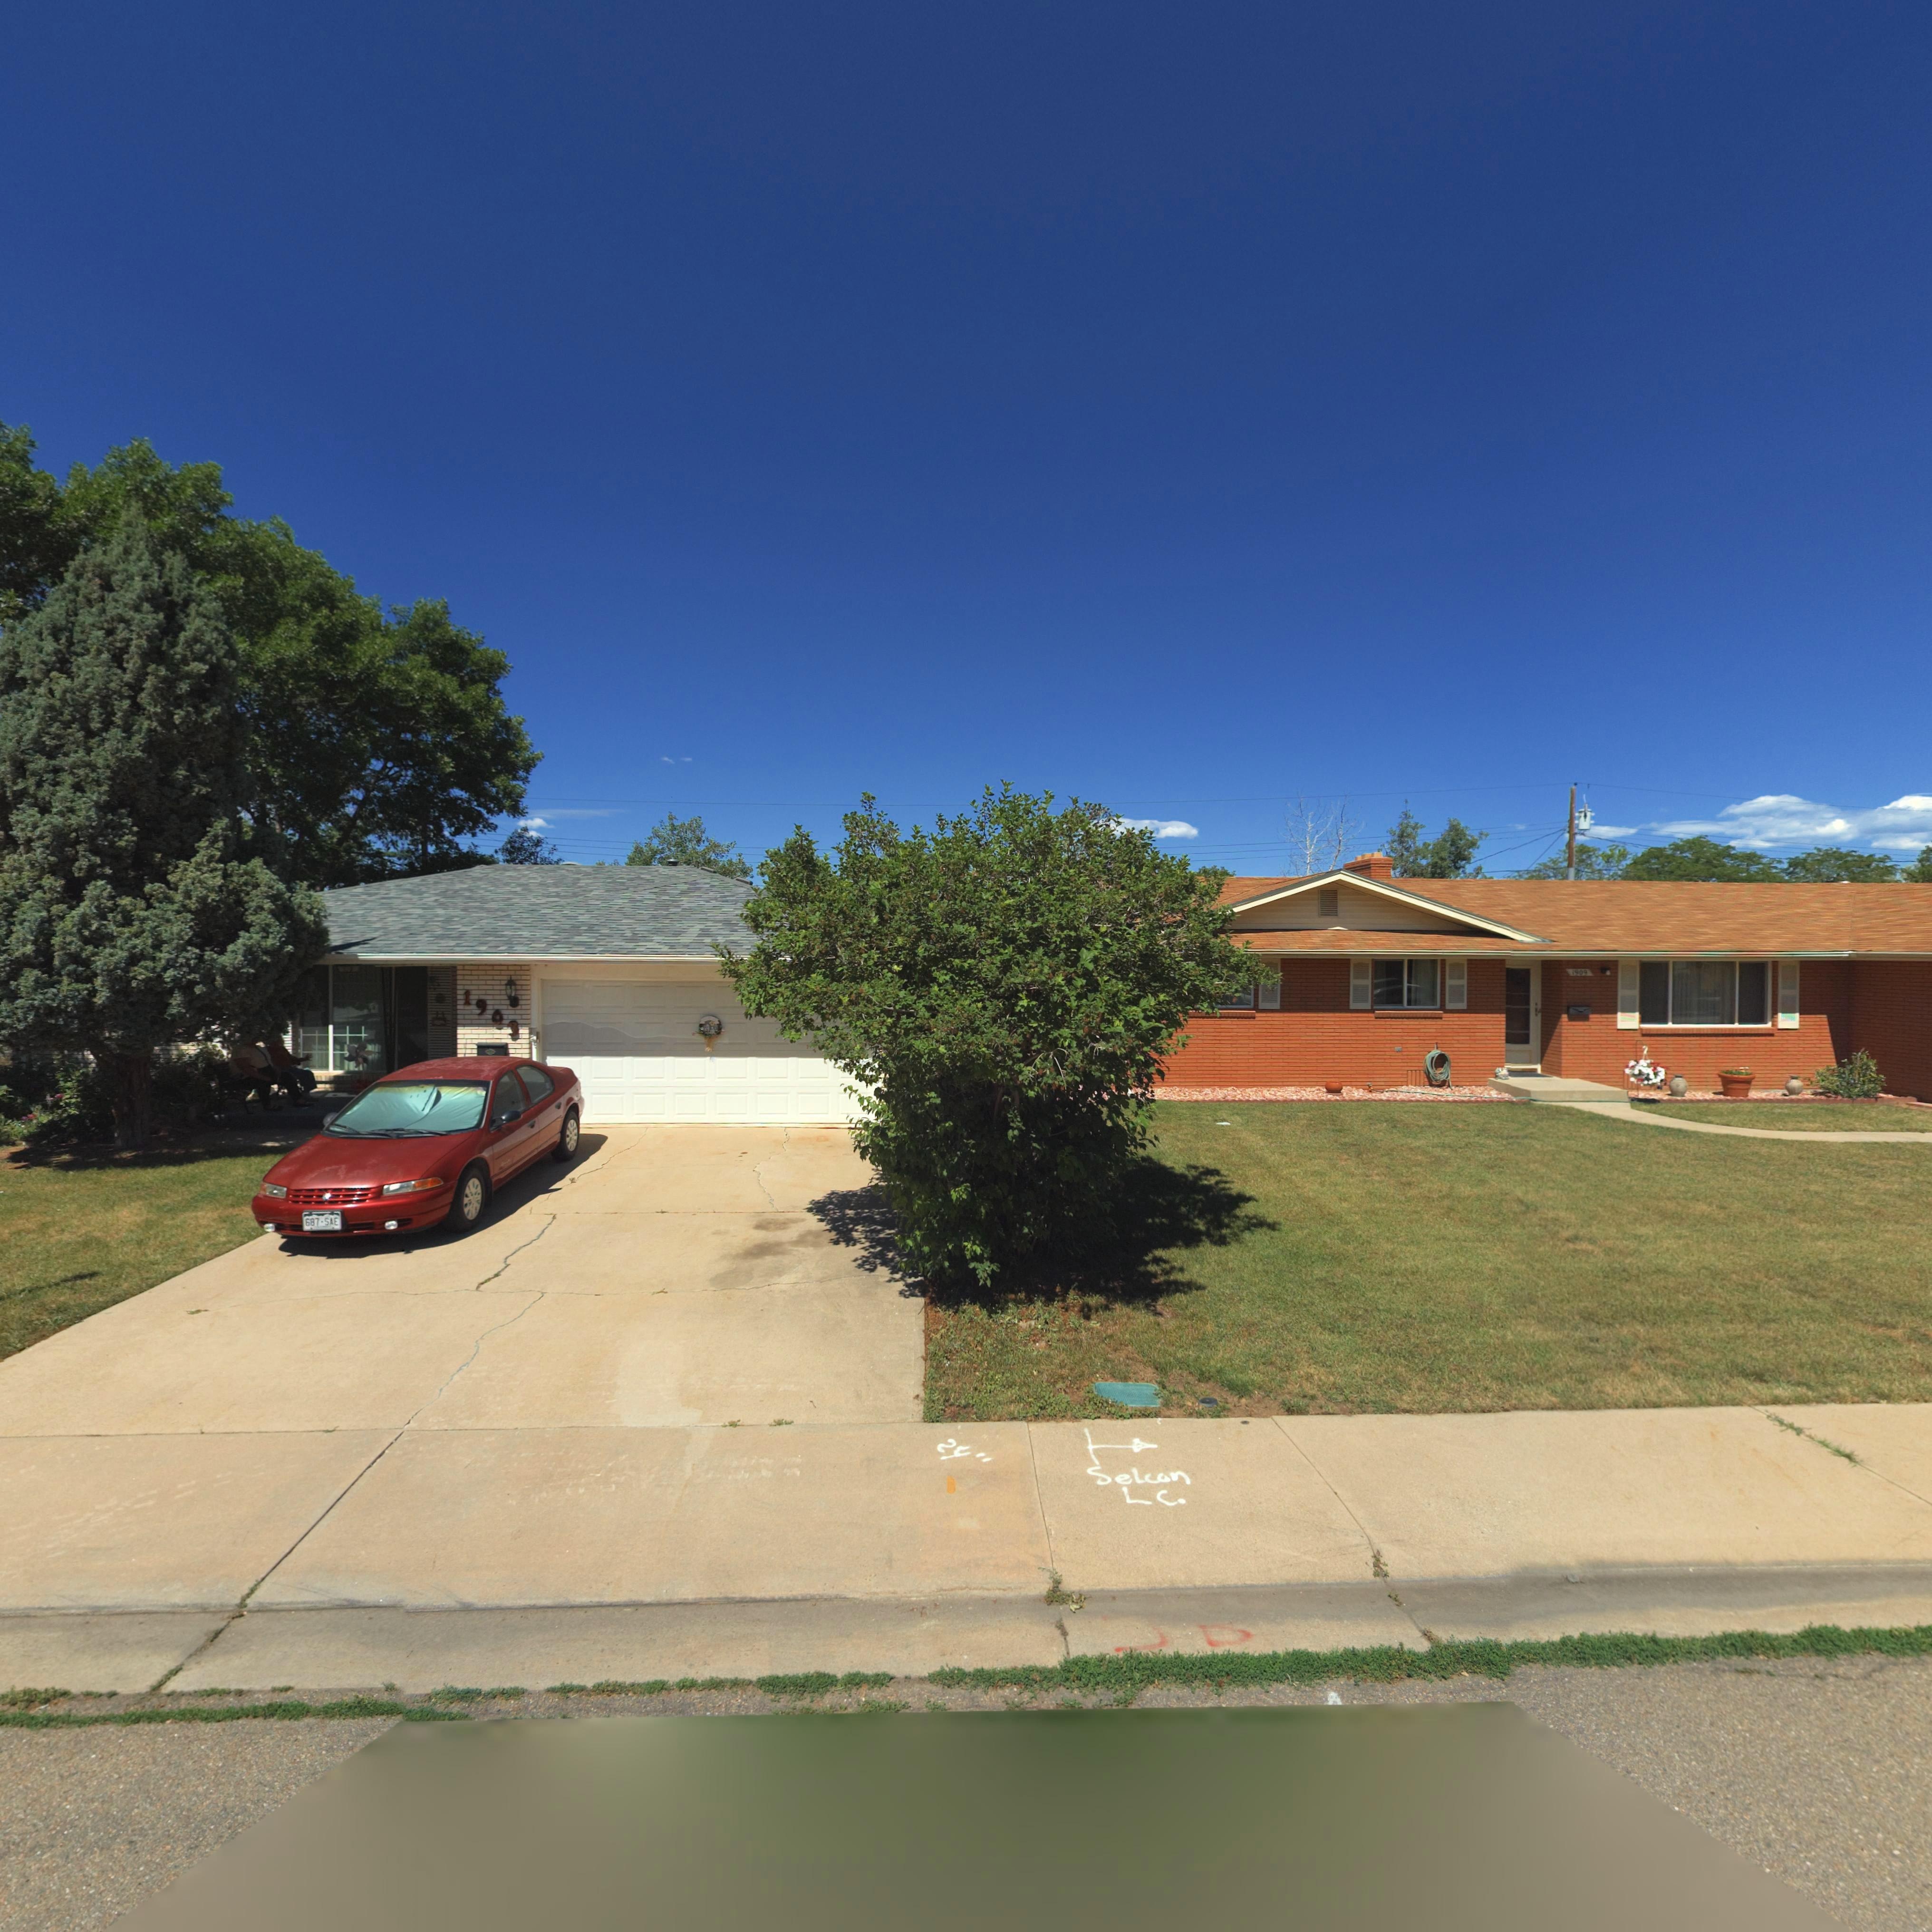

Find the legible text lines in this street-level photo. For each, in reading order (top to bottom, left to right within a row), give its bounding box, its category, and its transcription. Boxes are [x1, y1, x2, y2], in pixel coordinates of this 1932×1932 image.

[1571, 968, 1587, 976] StreetNumber: 1909
[463, 987, 519, 1038] StreetNumber: 1903